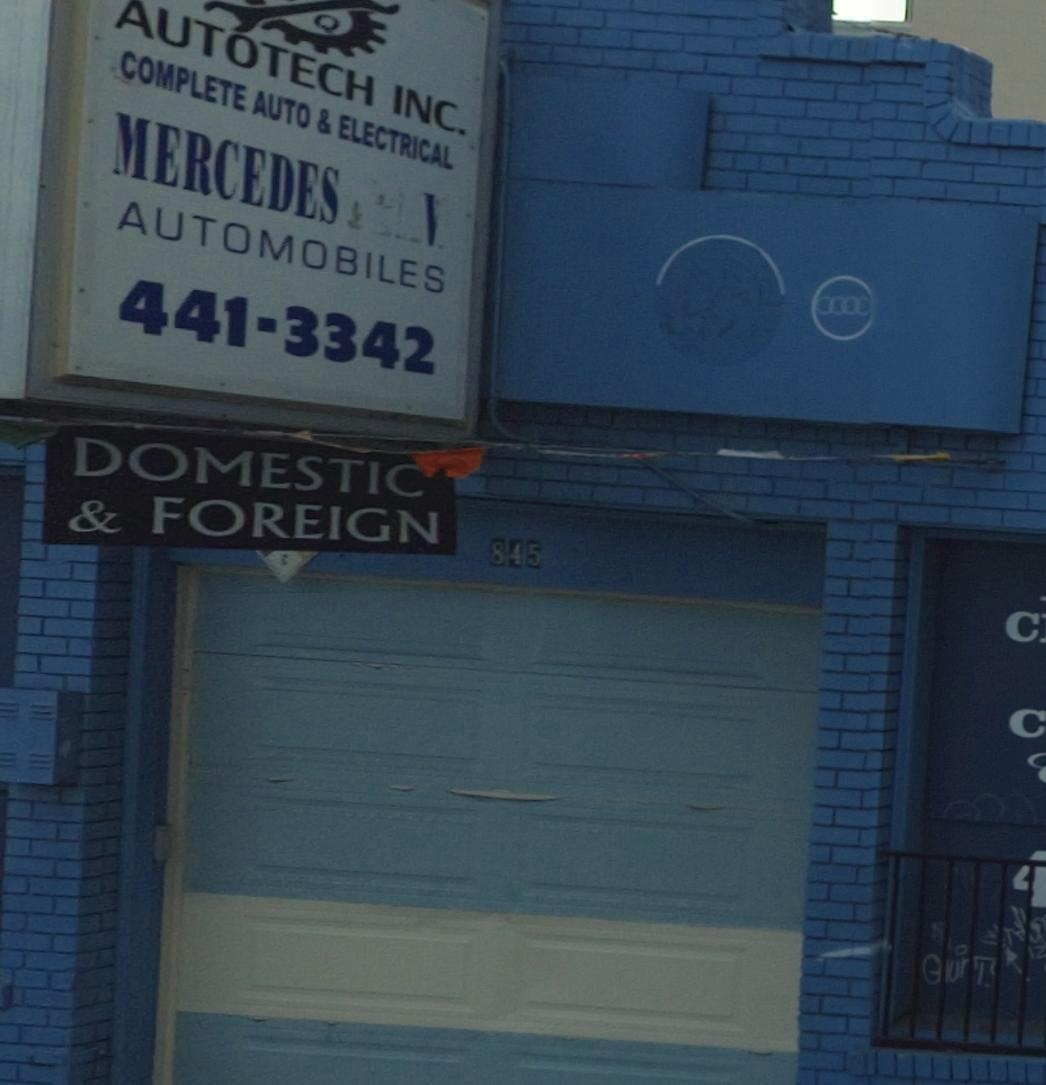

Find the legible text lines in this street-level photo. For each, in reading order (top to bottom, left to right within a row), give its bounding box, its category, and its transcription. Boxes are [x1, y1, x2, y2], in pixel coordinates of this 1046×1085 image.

[112, 0, 460, 138] BusinessName: AUTOTECH INC.
[117, 48, 455, 172] None: COMPLETE AUTO & ELECTRICAL
[111, 109, 341, 229] None: MERCEDES
[113, 197, 446, 298] None: AUTOMOBILES
[115, 276, 436, 377] None: 441-3342
[72, 433, 427, 502] None: DOMESTIC
[150, 494, 440, 547] None: FOREIGN
[489, 540, 541, 568] StreetNumber: 845
[1002, 608, 1041, 645] None: C
[1006, 708, 1046, 740] None: C